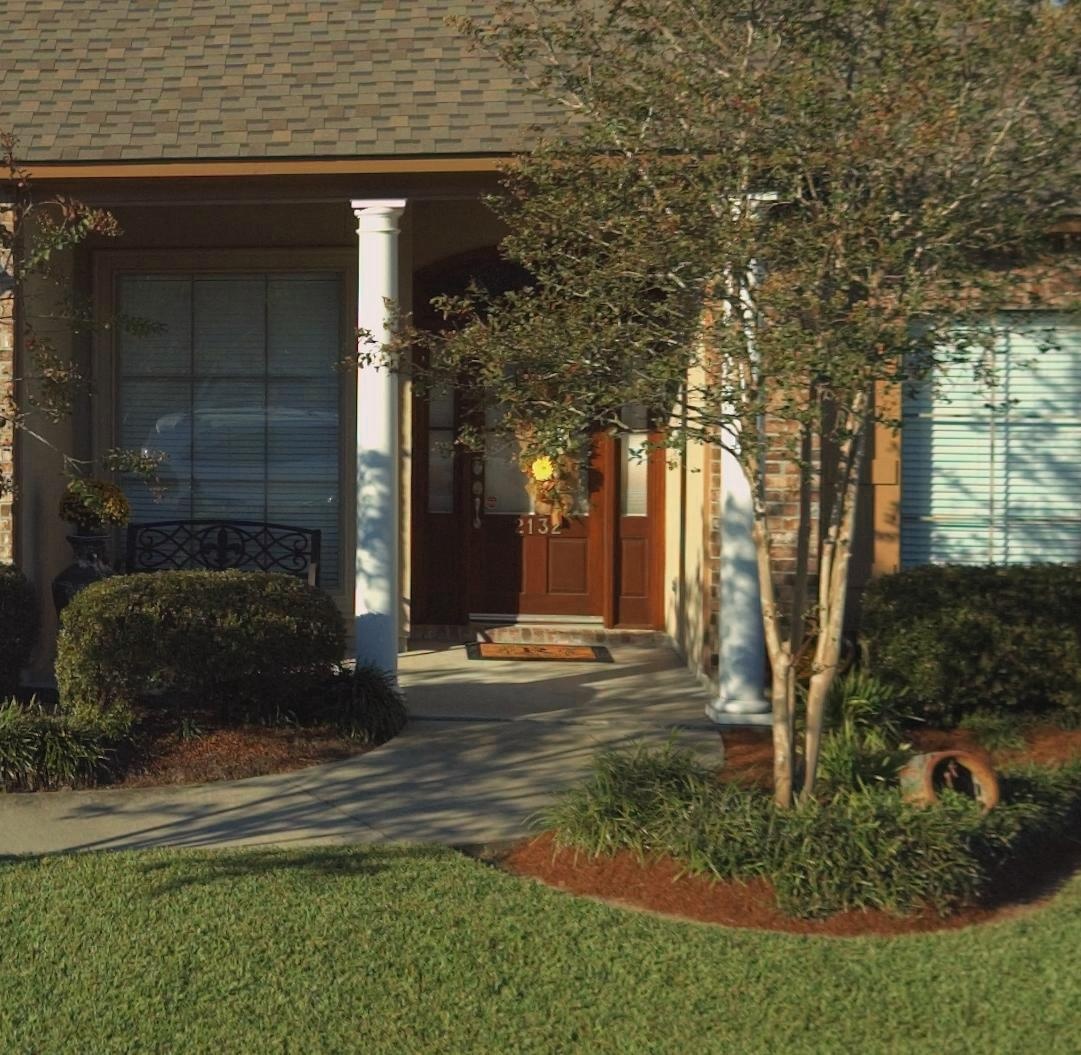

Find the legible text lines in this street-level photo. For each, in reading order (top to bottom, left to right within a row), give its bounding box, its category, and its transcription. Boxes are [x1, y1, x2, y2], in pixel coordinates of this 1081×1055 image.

[512, 515, 563, 537] StreetNumber: 2132